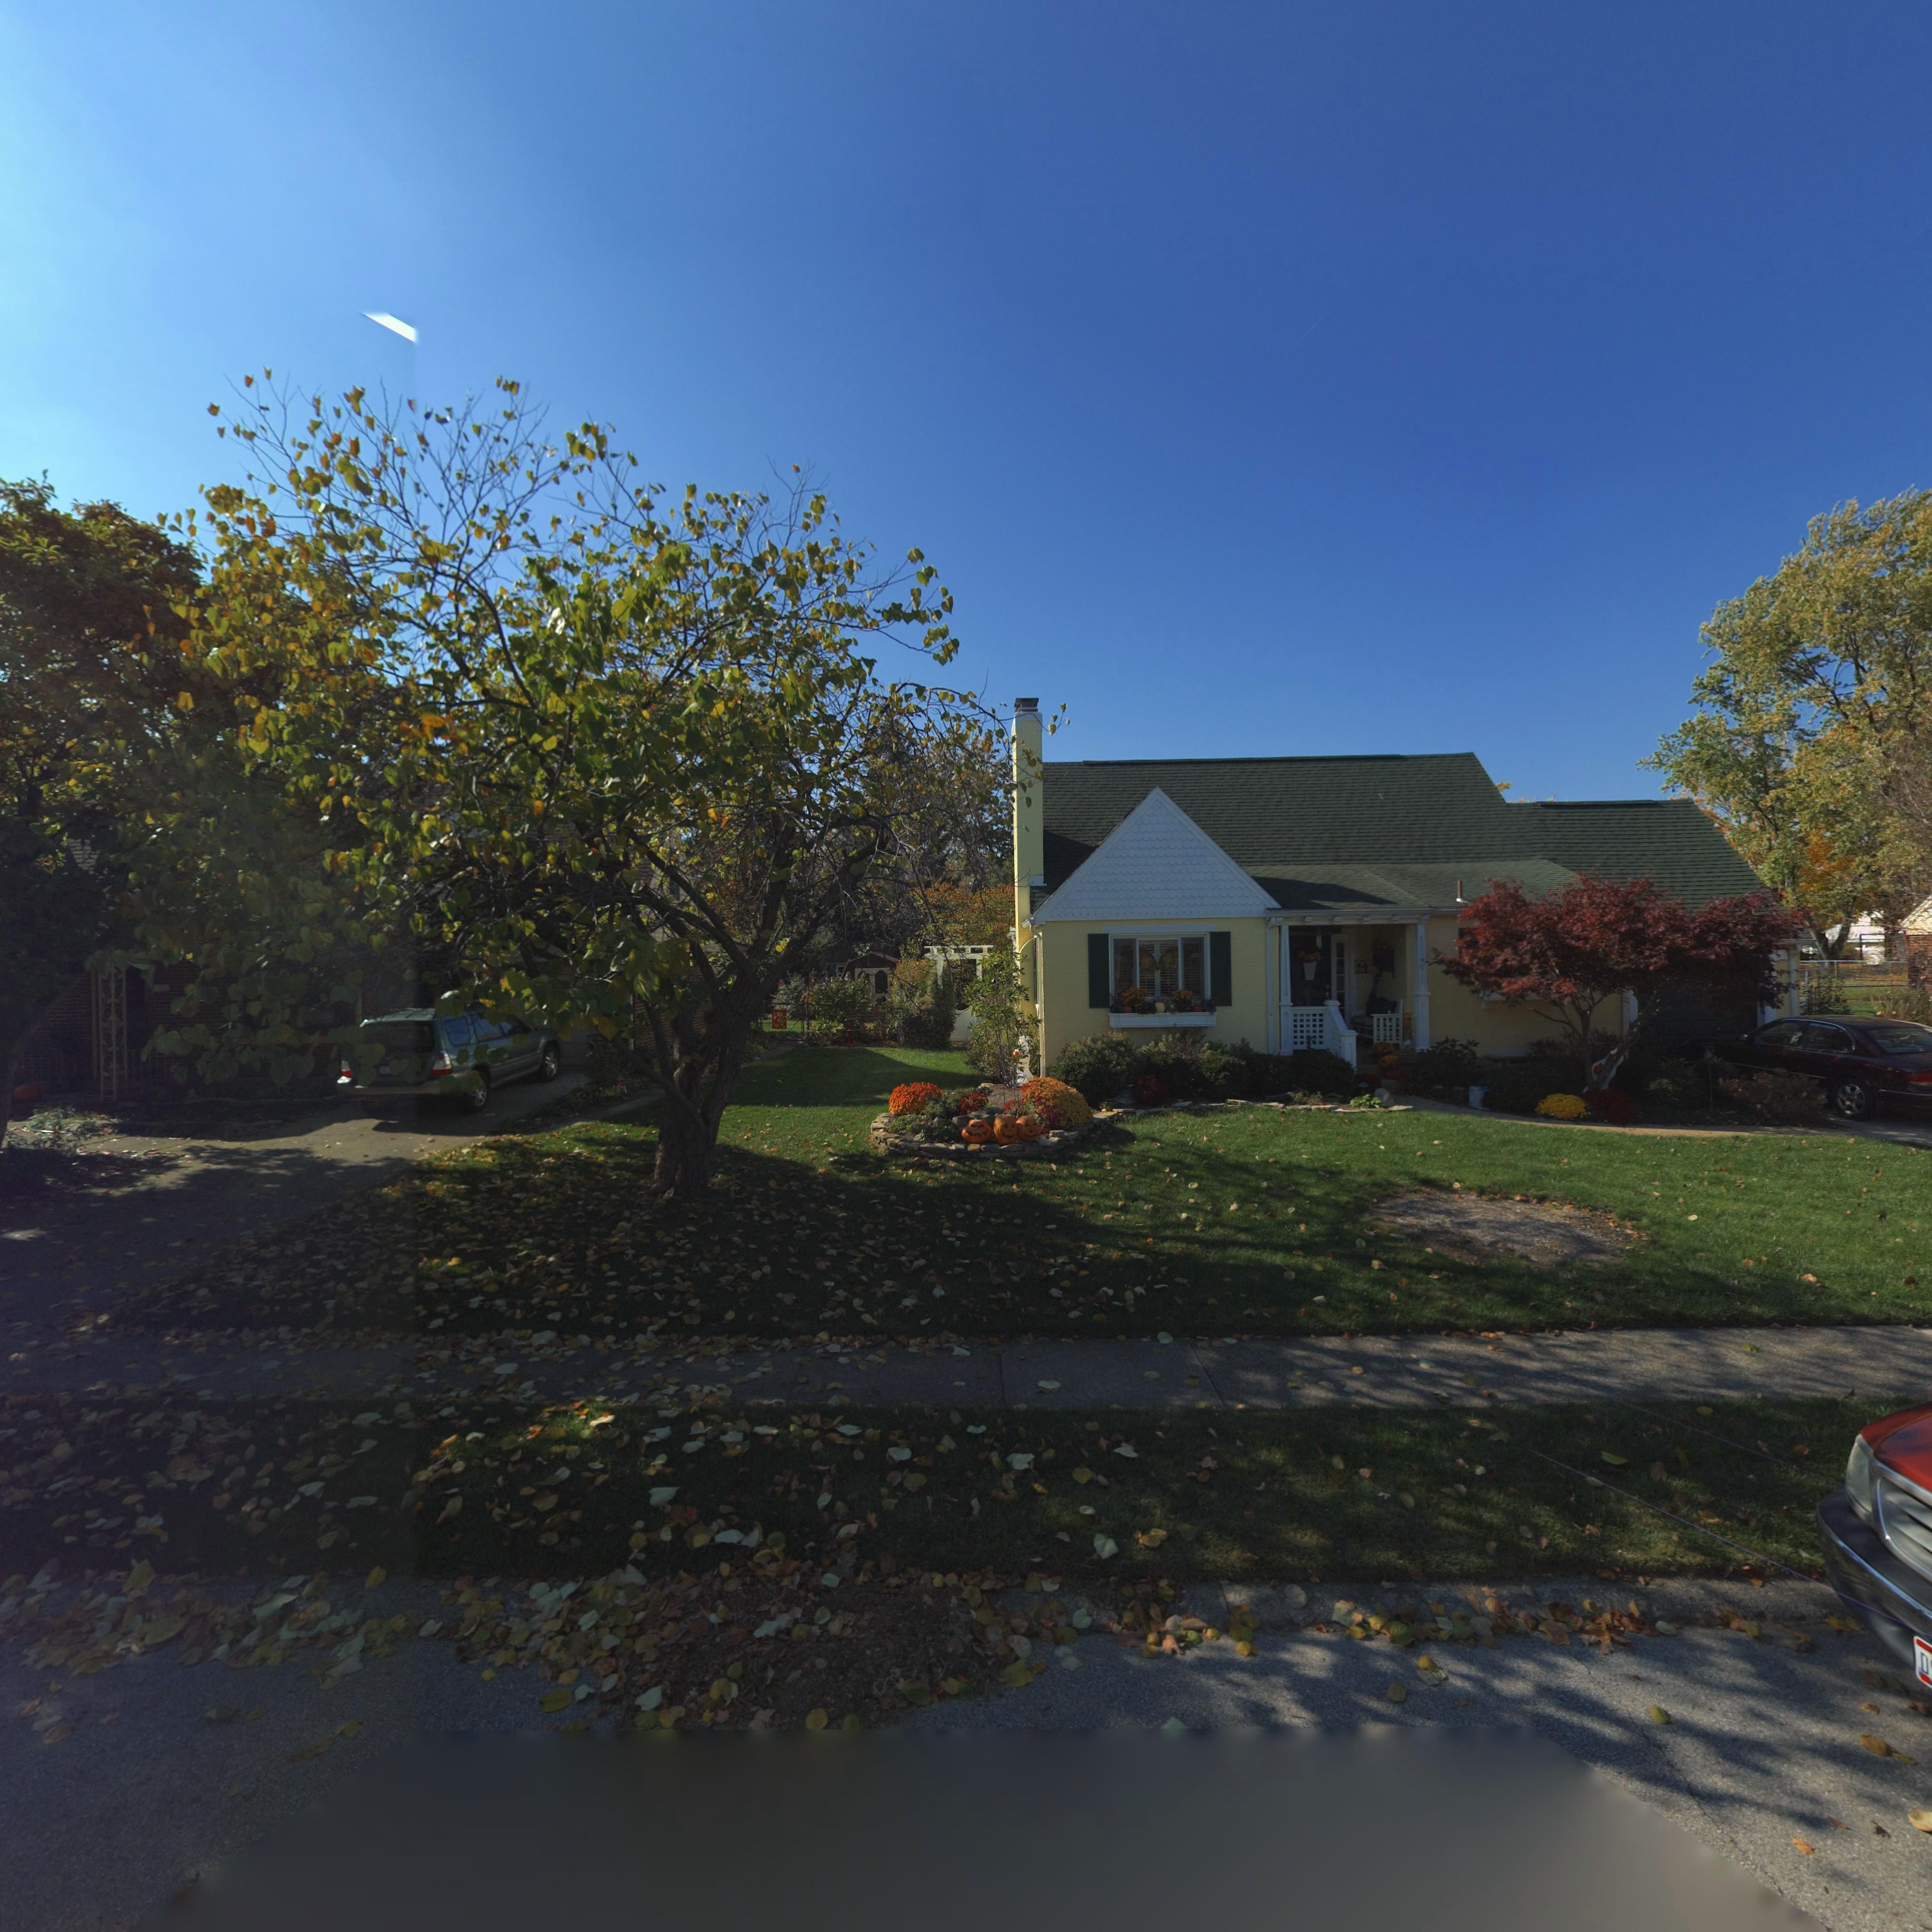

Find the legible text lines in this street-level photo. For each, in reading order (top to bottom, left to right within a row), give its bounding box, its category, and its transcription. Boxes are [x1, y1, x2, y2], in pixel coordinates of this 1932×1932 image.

[1920, 1651, 1929, 1676] None: D